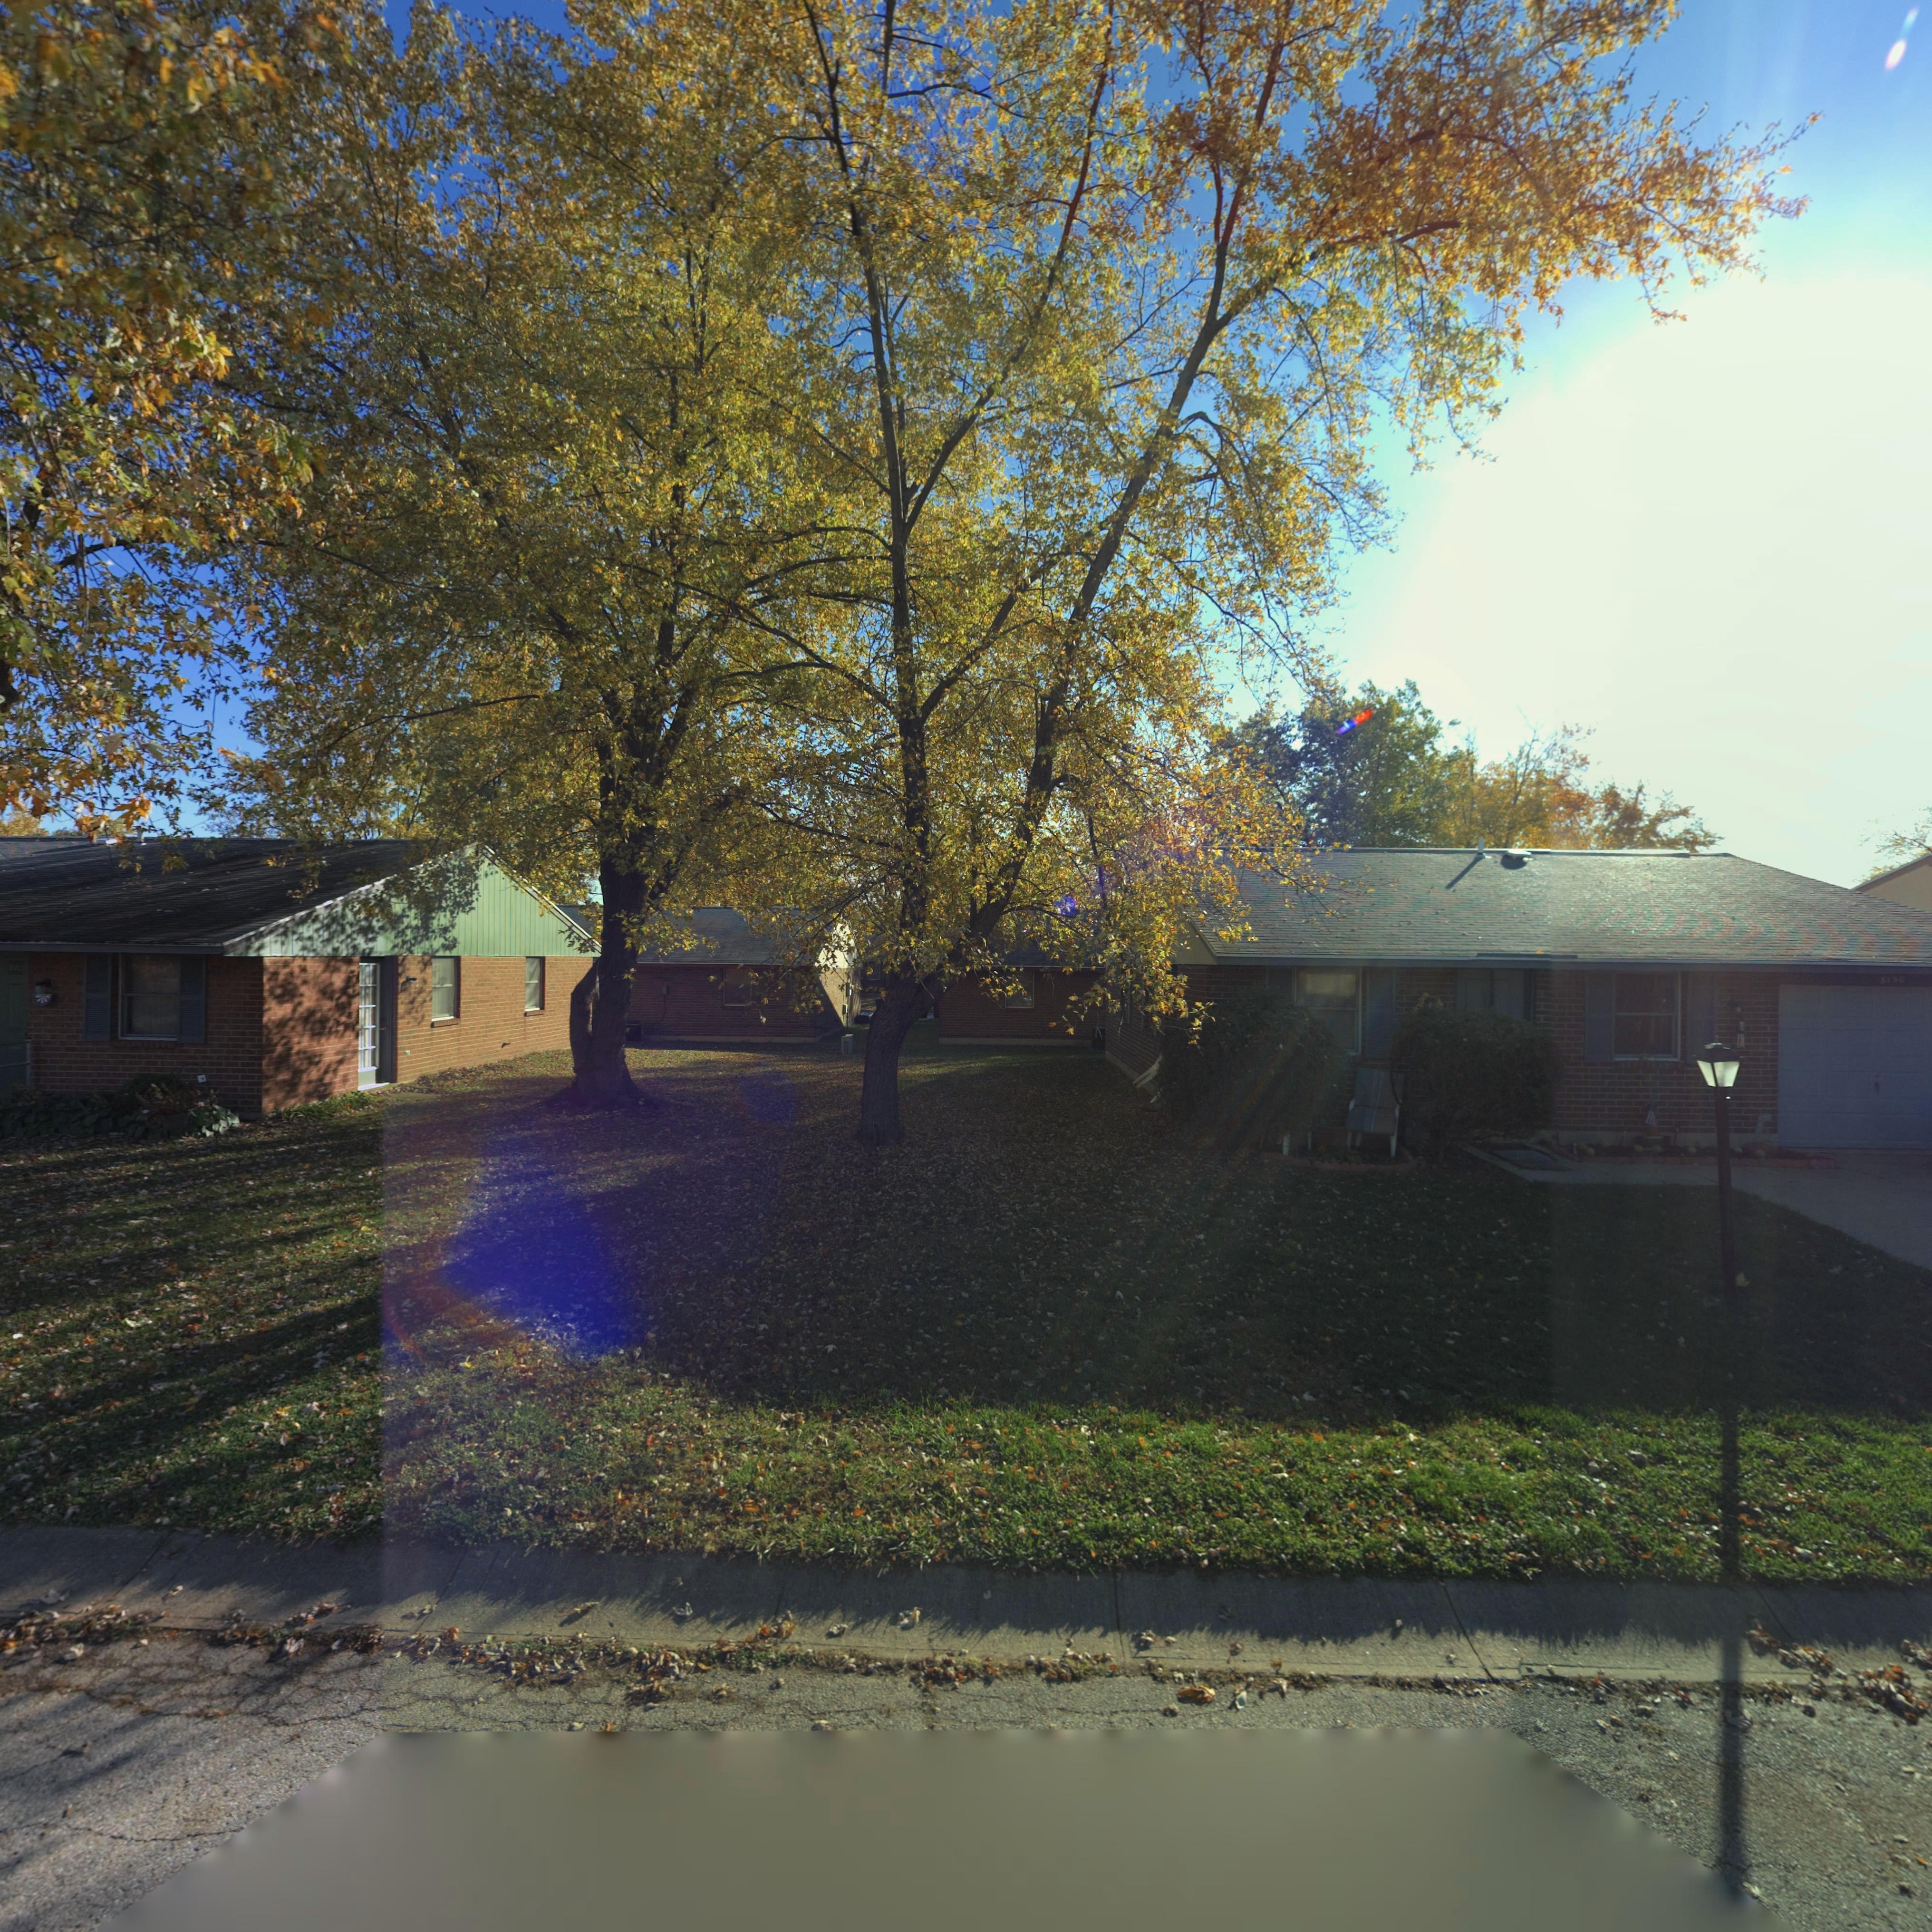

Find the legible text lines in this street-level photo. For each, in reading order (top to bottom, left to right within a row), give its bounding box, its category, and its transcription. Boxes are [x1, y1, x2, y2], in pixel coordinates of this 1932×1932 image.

[1878, 974, 1907, 986] StreetNumber: 815*